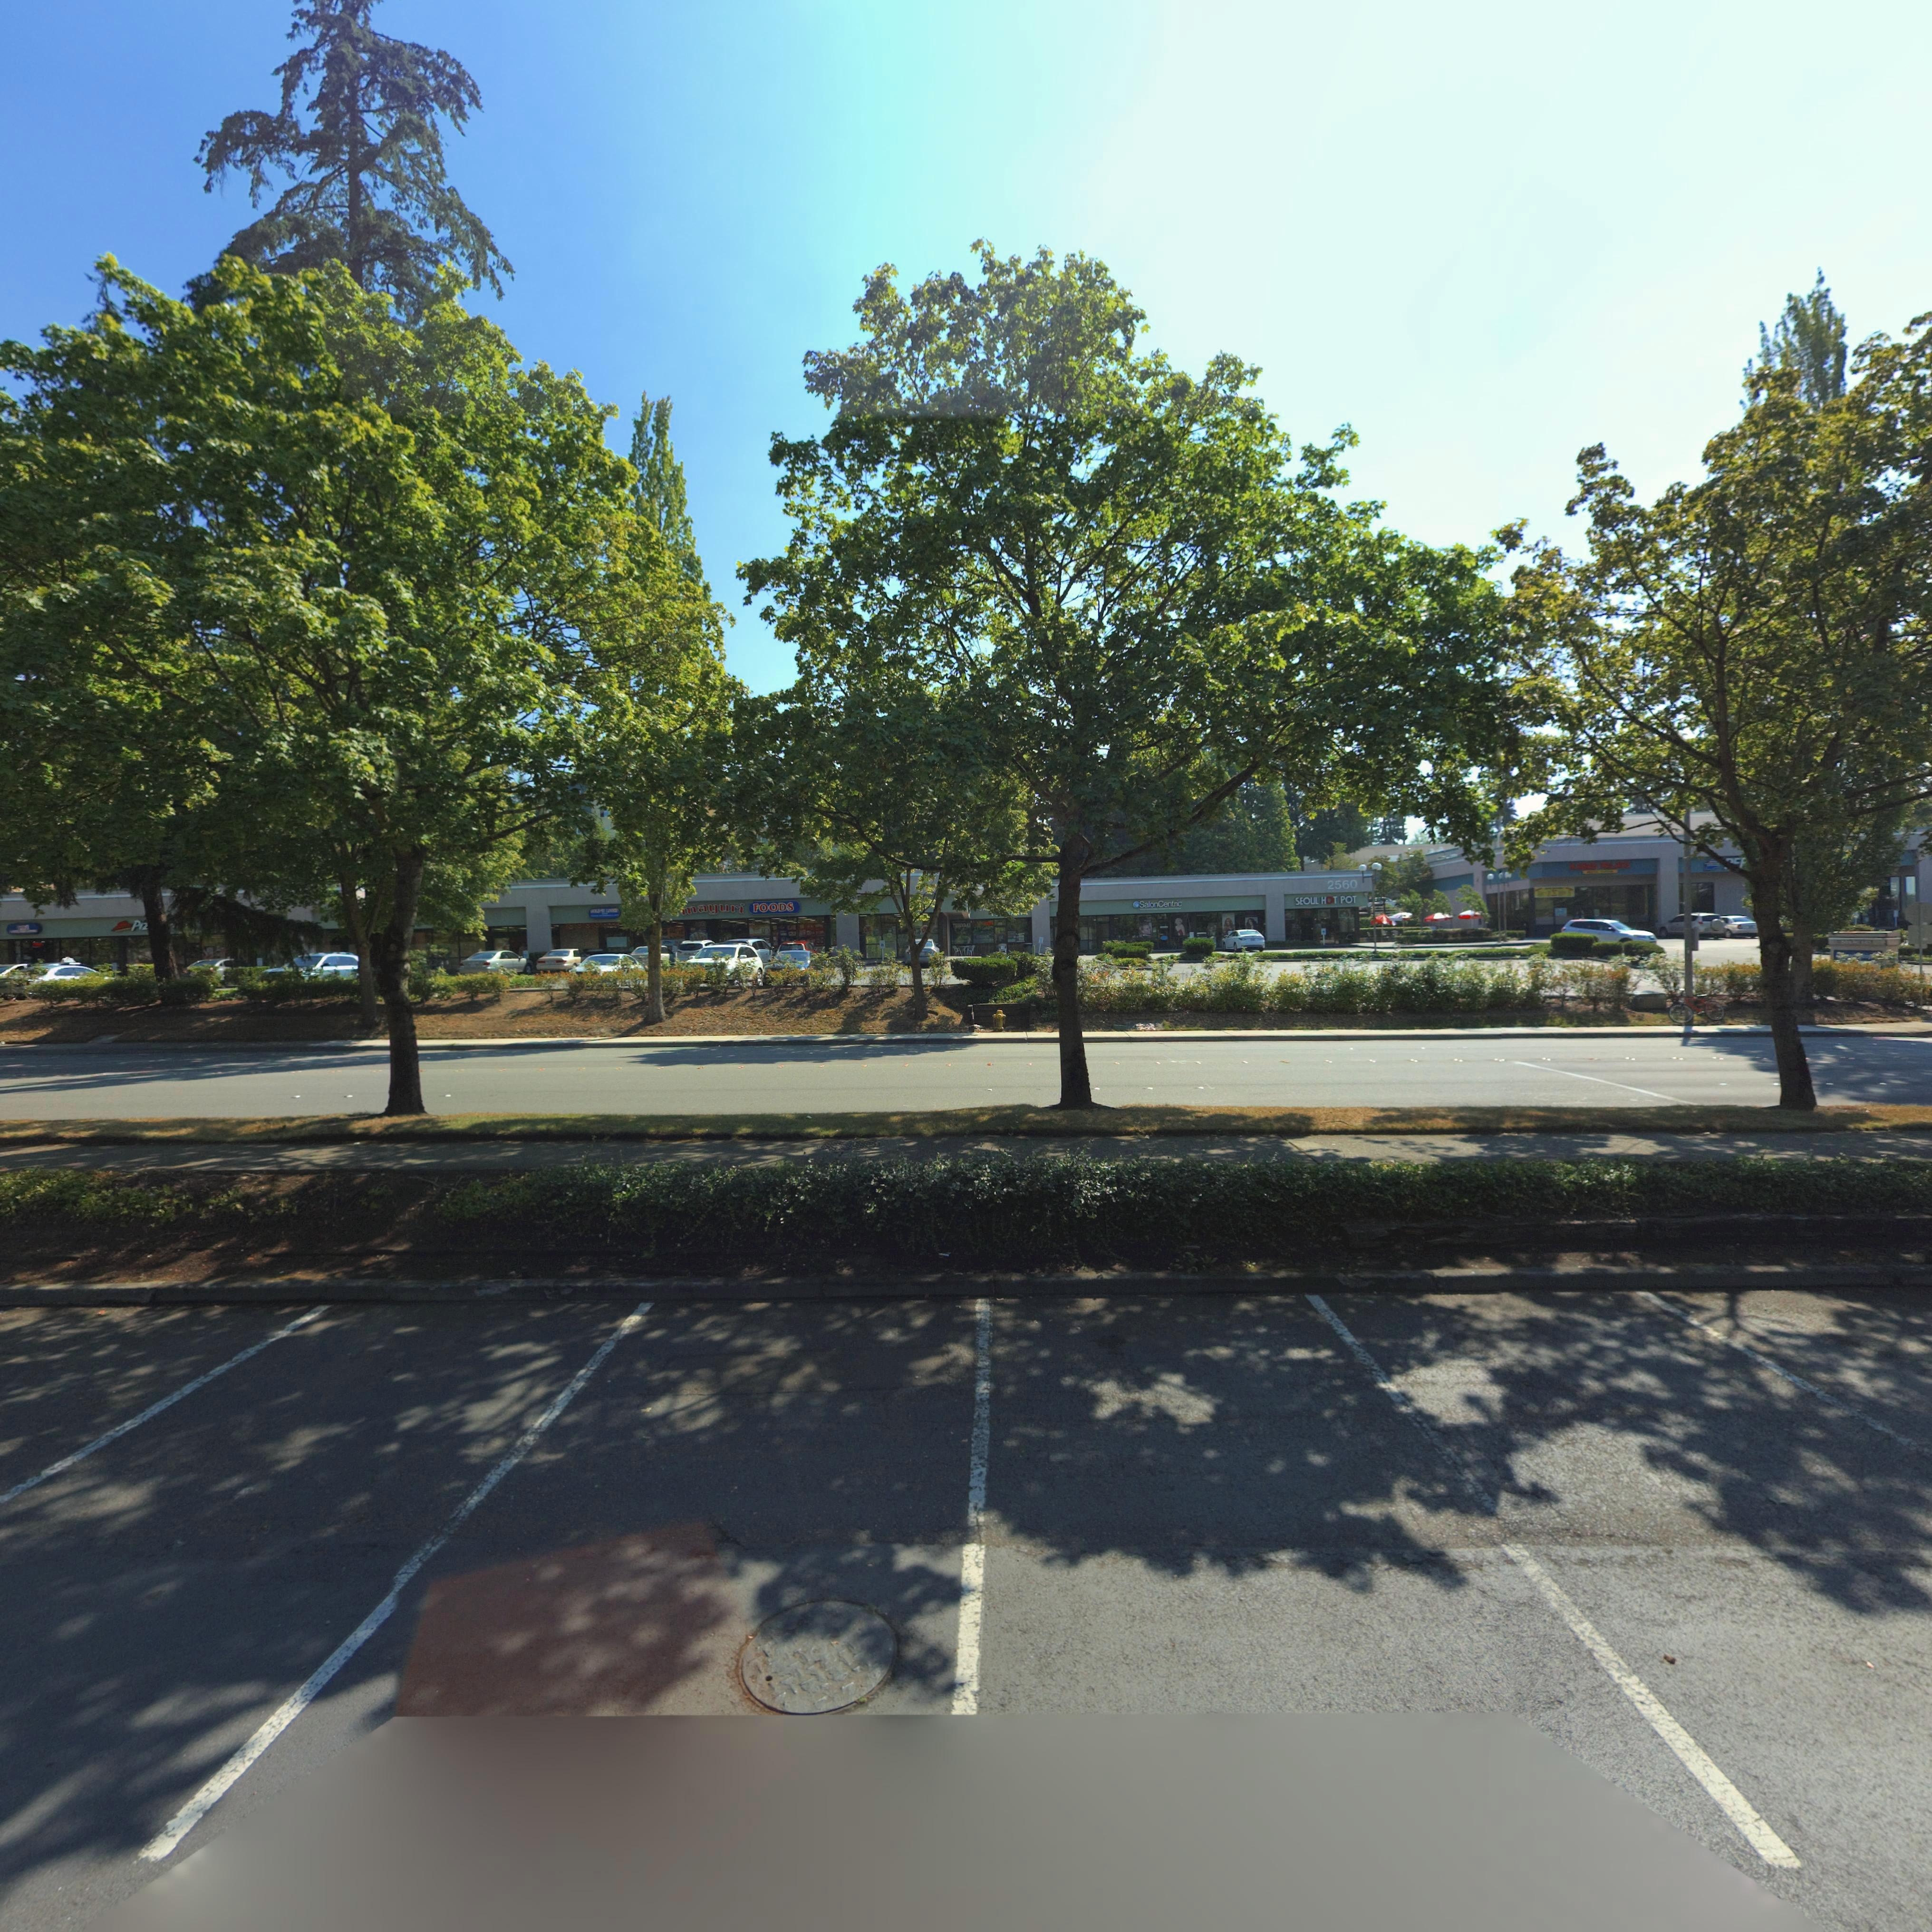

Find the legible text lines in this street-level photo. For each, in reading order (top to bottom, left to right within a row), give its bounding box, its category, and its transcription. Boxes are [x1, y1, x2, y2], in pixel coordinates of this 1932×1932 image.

[1327, 879, 1358, 889] StreetNumber: 2560
[681, 902, 746, 915] BusinessName: *ayuri
[753, 902, 794, 912] BusinessName: FOODS
[1139, 899, 1183, 908] BusinessName: SalonCentric
[1294, 895, 1357, 905] BusinessName: SEOUL HOT POT
[130, 918, 148, 932] BusinessName: Pi*